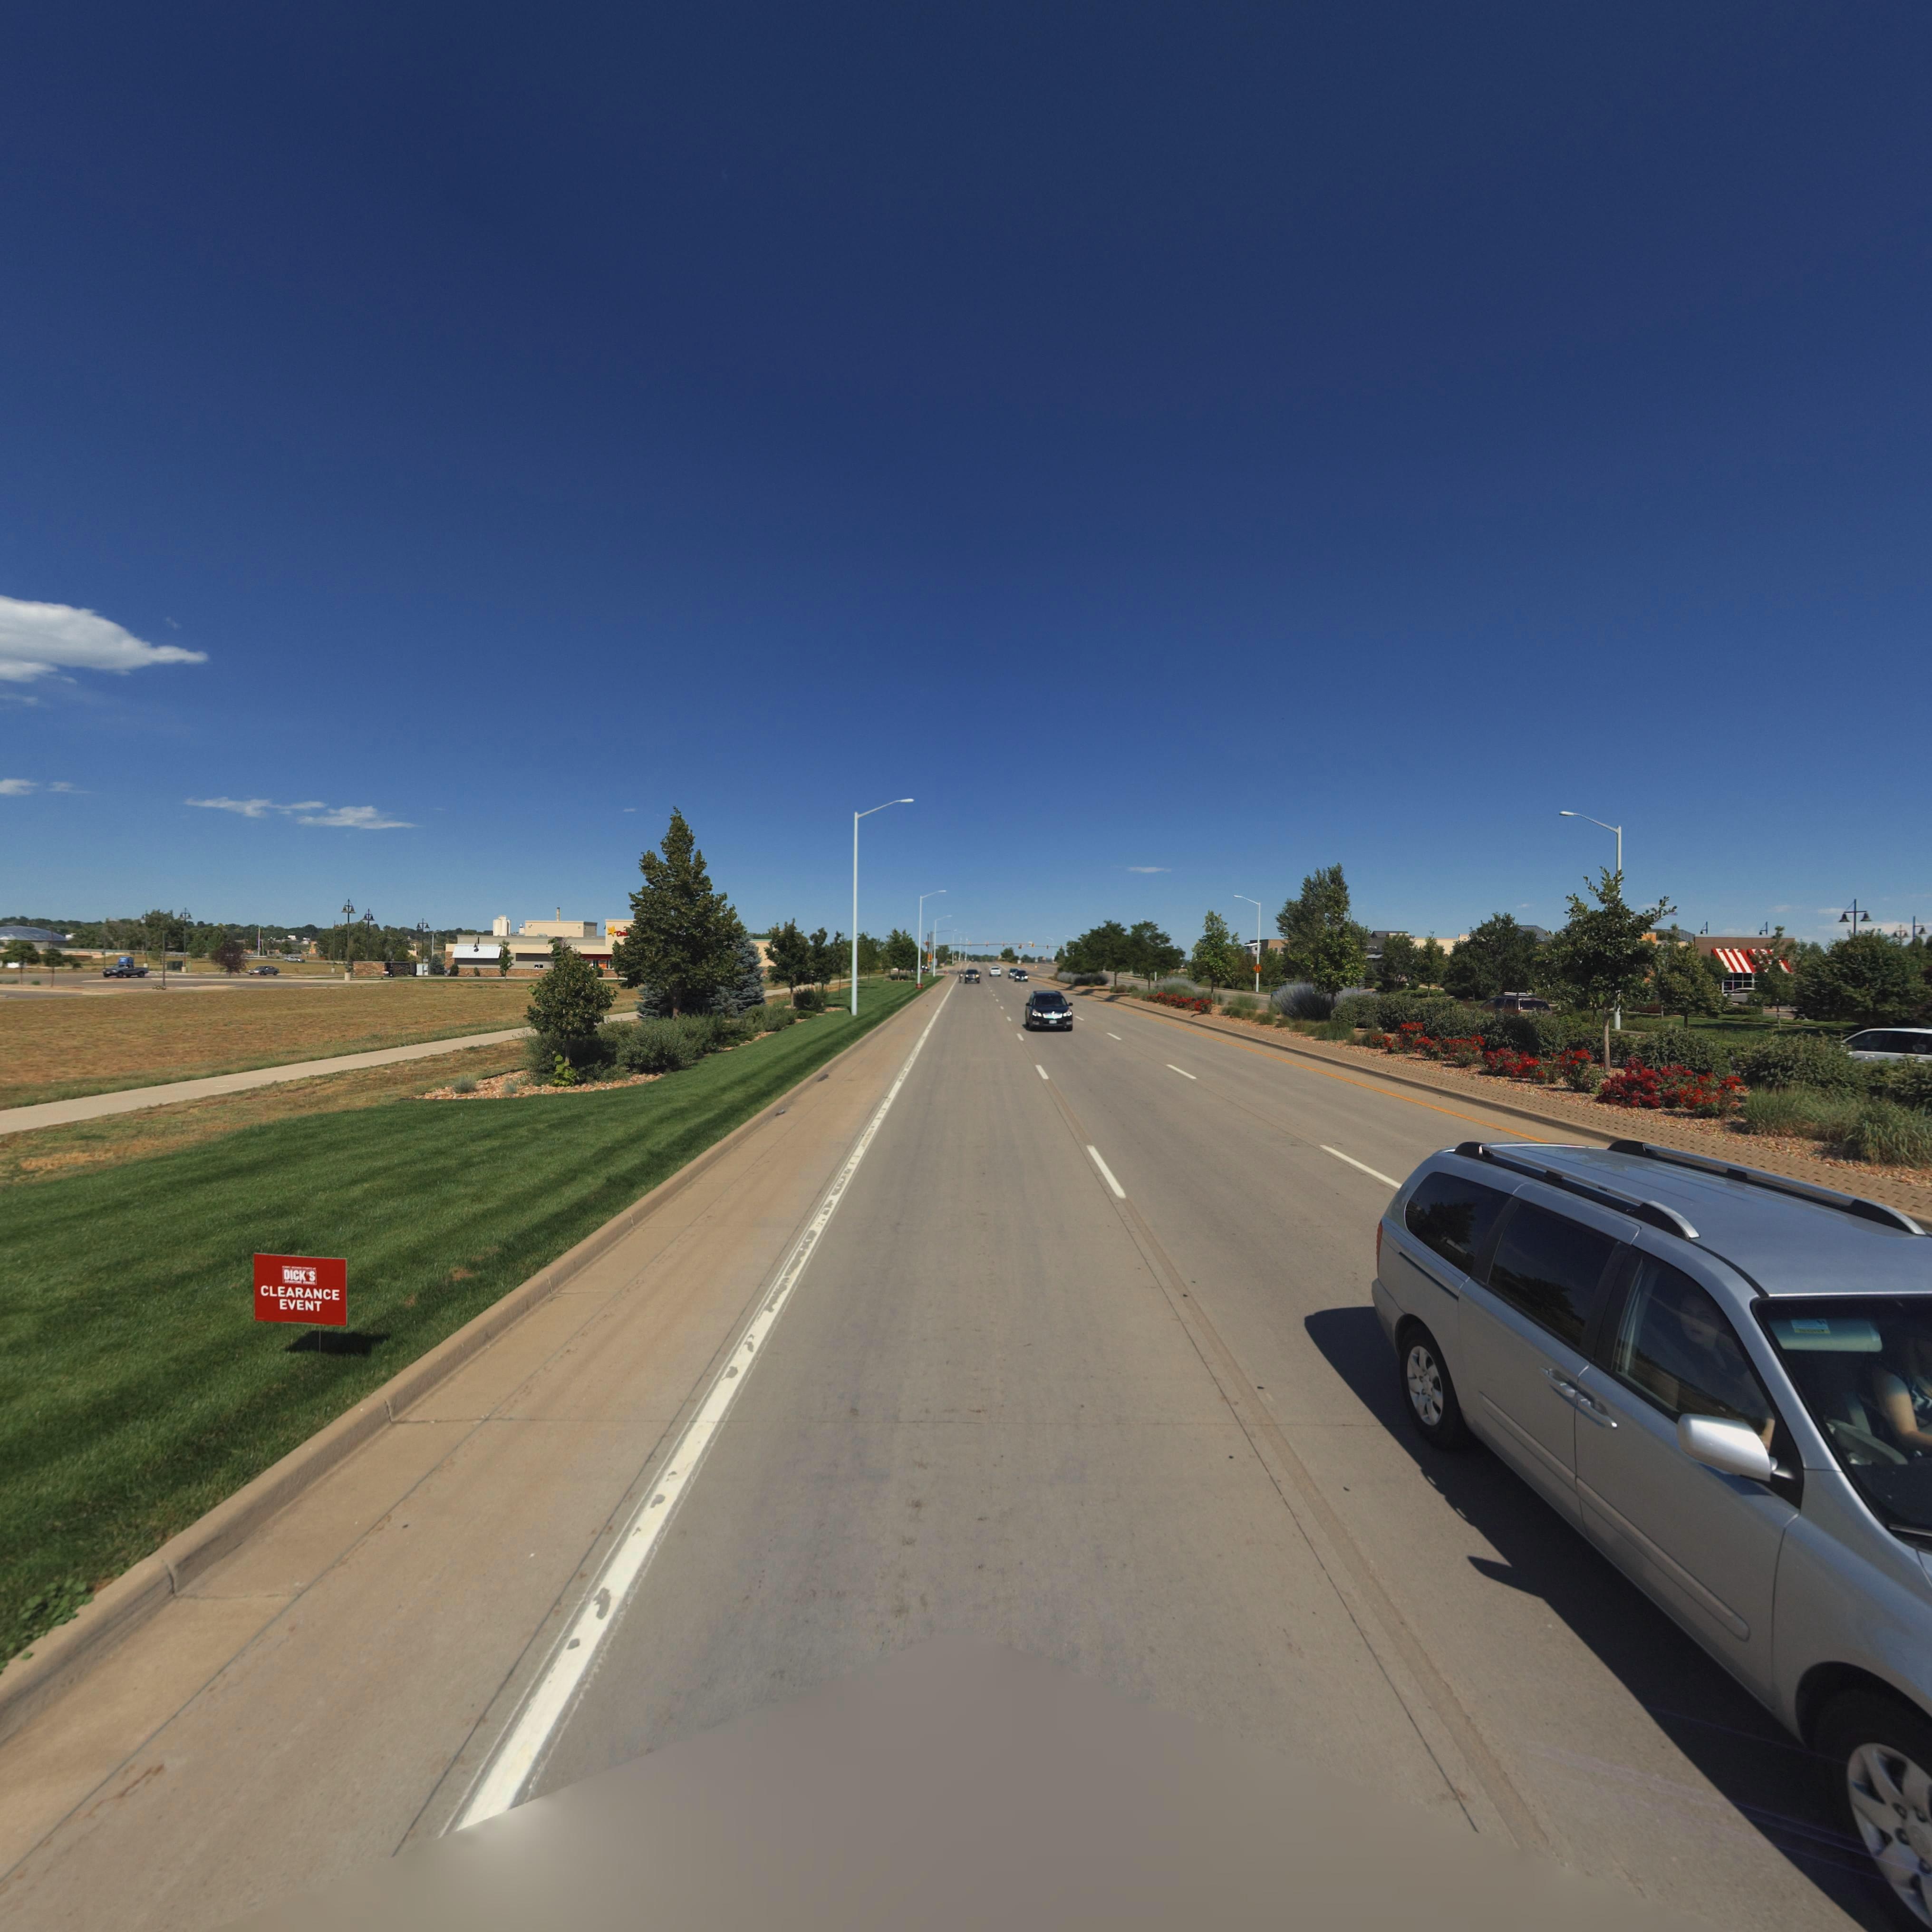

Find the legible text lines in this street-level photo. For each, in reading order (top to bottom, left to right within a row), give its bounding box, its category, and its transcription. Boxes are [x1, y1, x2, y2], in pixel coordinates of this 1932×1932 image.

[615, 930, 628, 937] BusinessName: C**
[283, 1268, 315, 1281] BusinessName: DICK'S